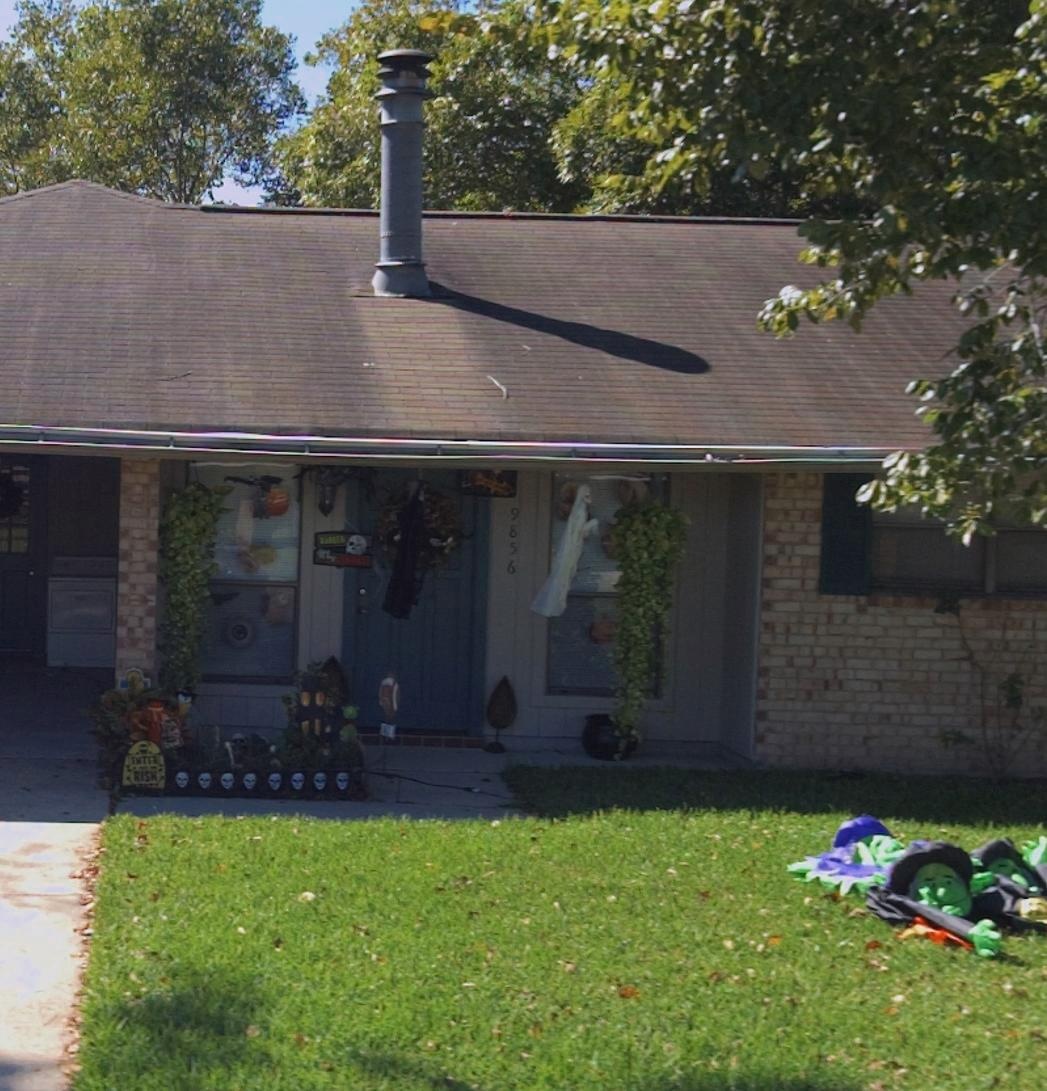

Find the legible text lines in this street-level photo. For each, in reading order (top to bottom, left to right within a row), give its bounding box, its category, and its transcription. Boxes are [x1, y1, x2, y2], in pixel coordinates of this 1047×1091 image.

[506, 506, 521, 575] StreetNumber: 9856
[131, 755, 159, 765] None: ENTER
[133, 770, 157, 783] None: RISK